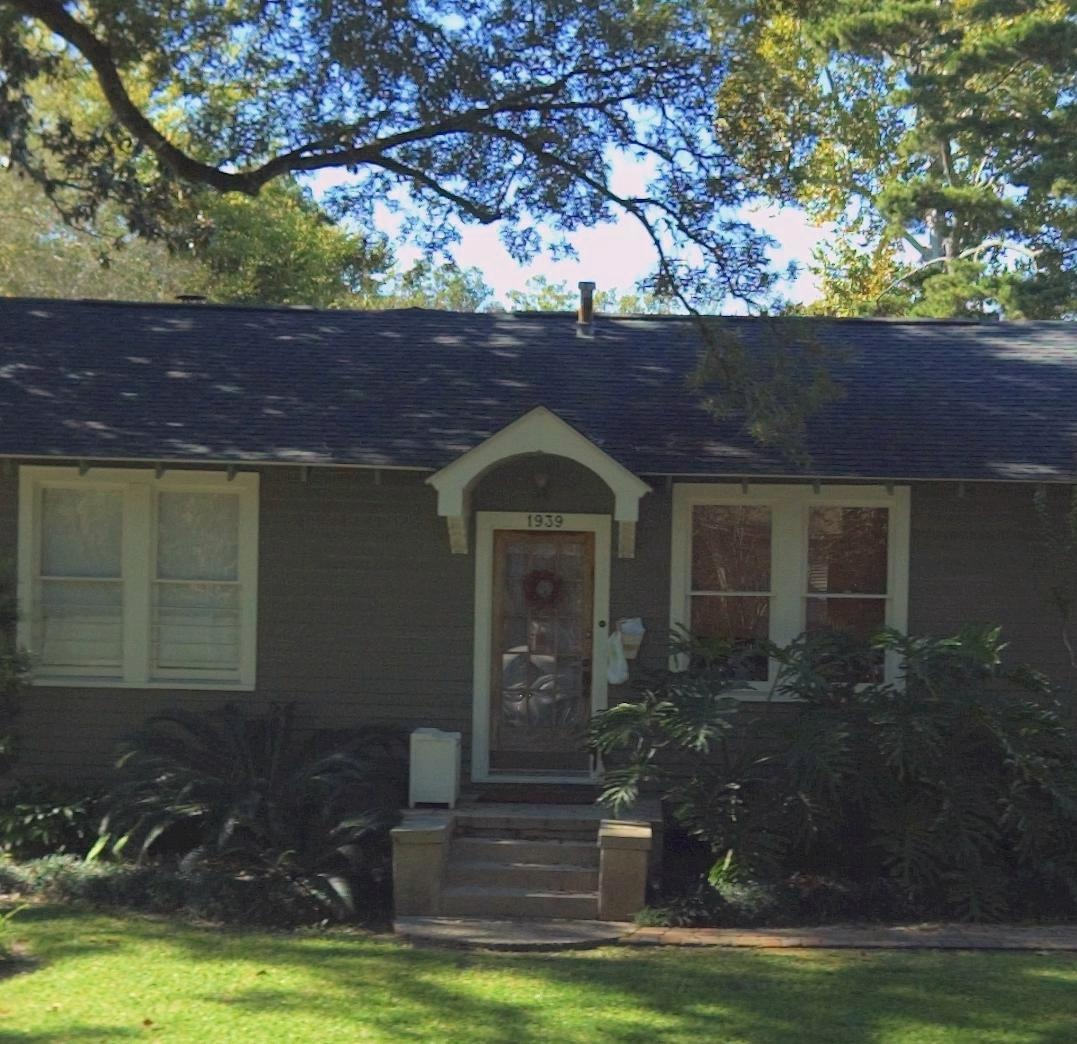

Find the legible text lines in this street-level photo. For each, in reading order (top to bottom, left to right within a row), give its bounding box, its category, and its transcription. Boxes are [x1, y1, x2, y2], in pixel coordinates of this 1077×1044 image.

[525, 513, 565, 529] StreetNumber: 1939